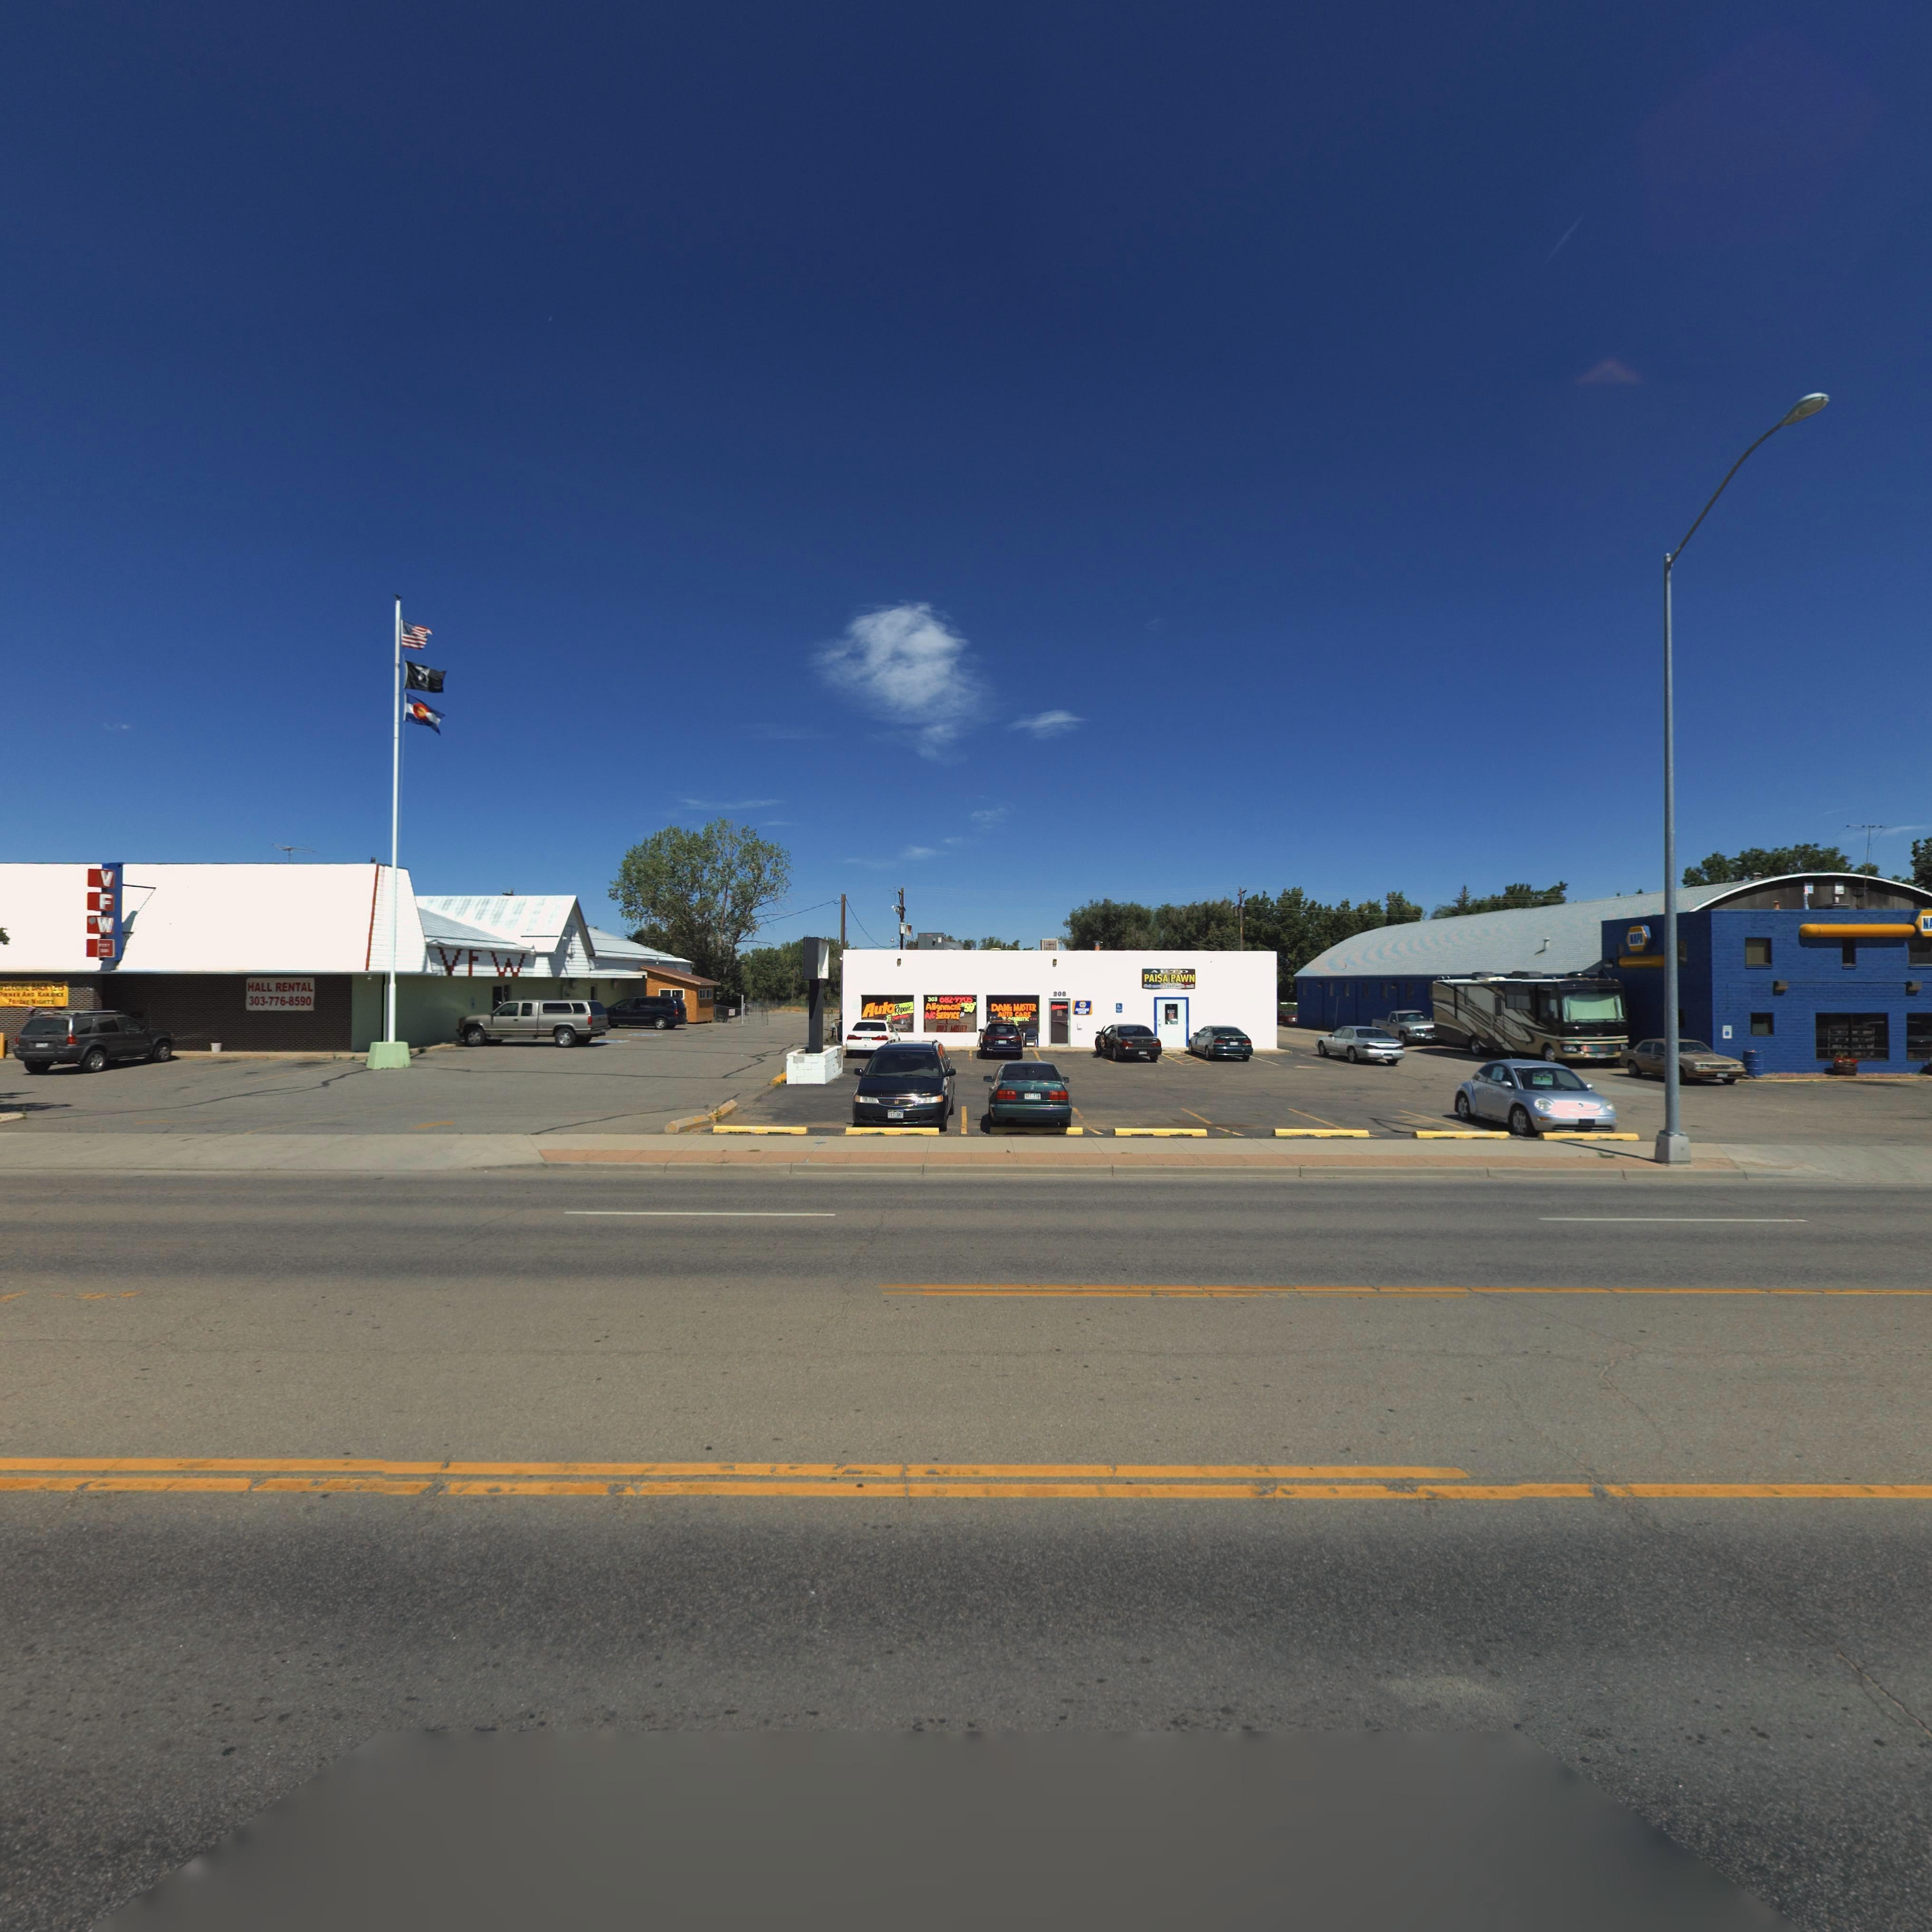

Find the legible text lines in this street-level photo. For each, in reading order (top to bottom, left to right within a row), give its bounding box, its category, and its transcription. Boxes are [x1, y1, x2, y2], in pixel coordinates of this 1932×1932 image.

[96, 869, 115, 933] BusinessName: VFW
[1629, 932, 1643, 944] StreetName: NAPA
[434, 945, 529, 977] BusinessName: VFW
[1150, 969, 1188, 973] BusinessName: AUTO
[1144, 974, 1195, 983] BusinessName: PAISA PAWN
[1053, 991, 1066, 996] StreetNumber: 208
[861, 1000, 894, 1018] None: AUTO